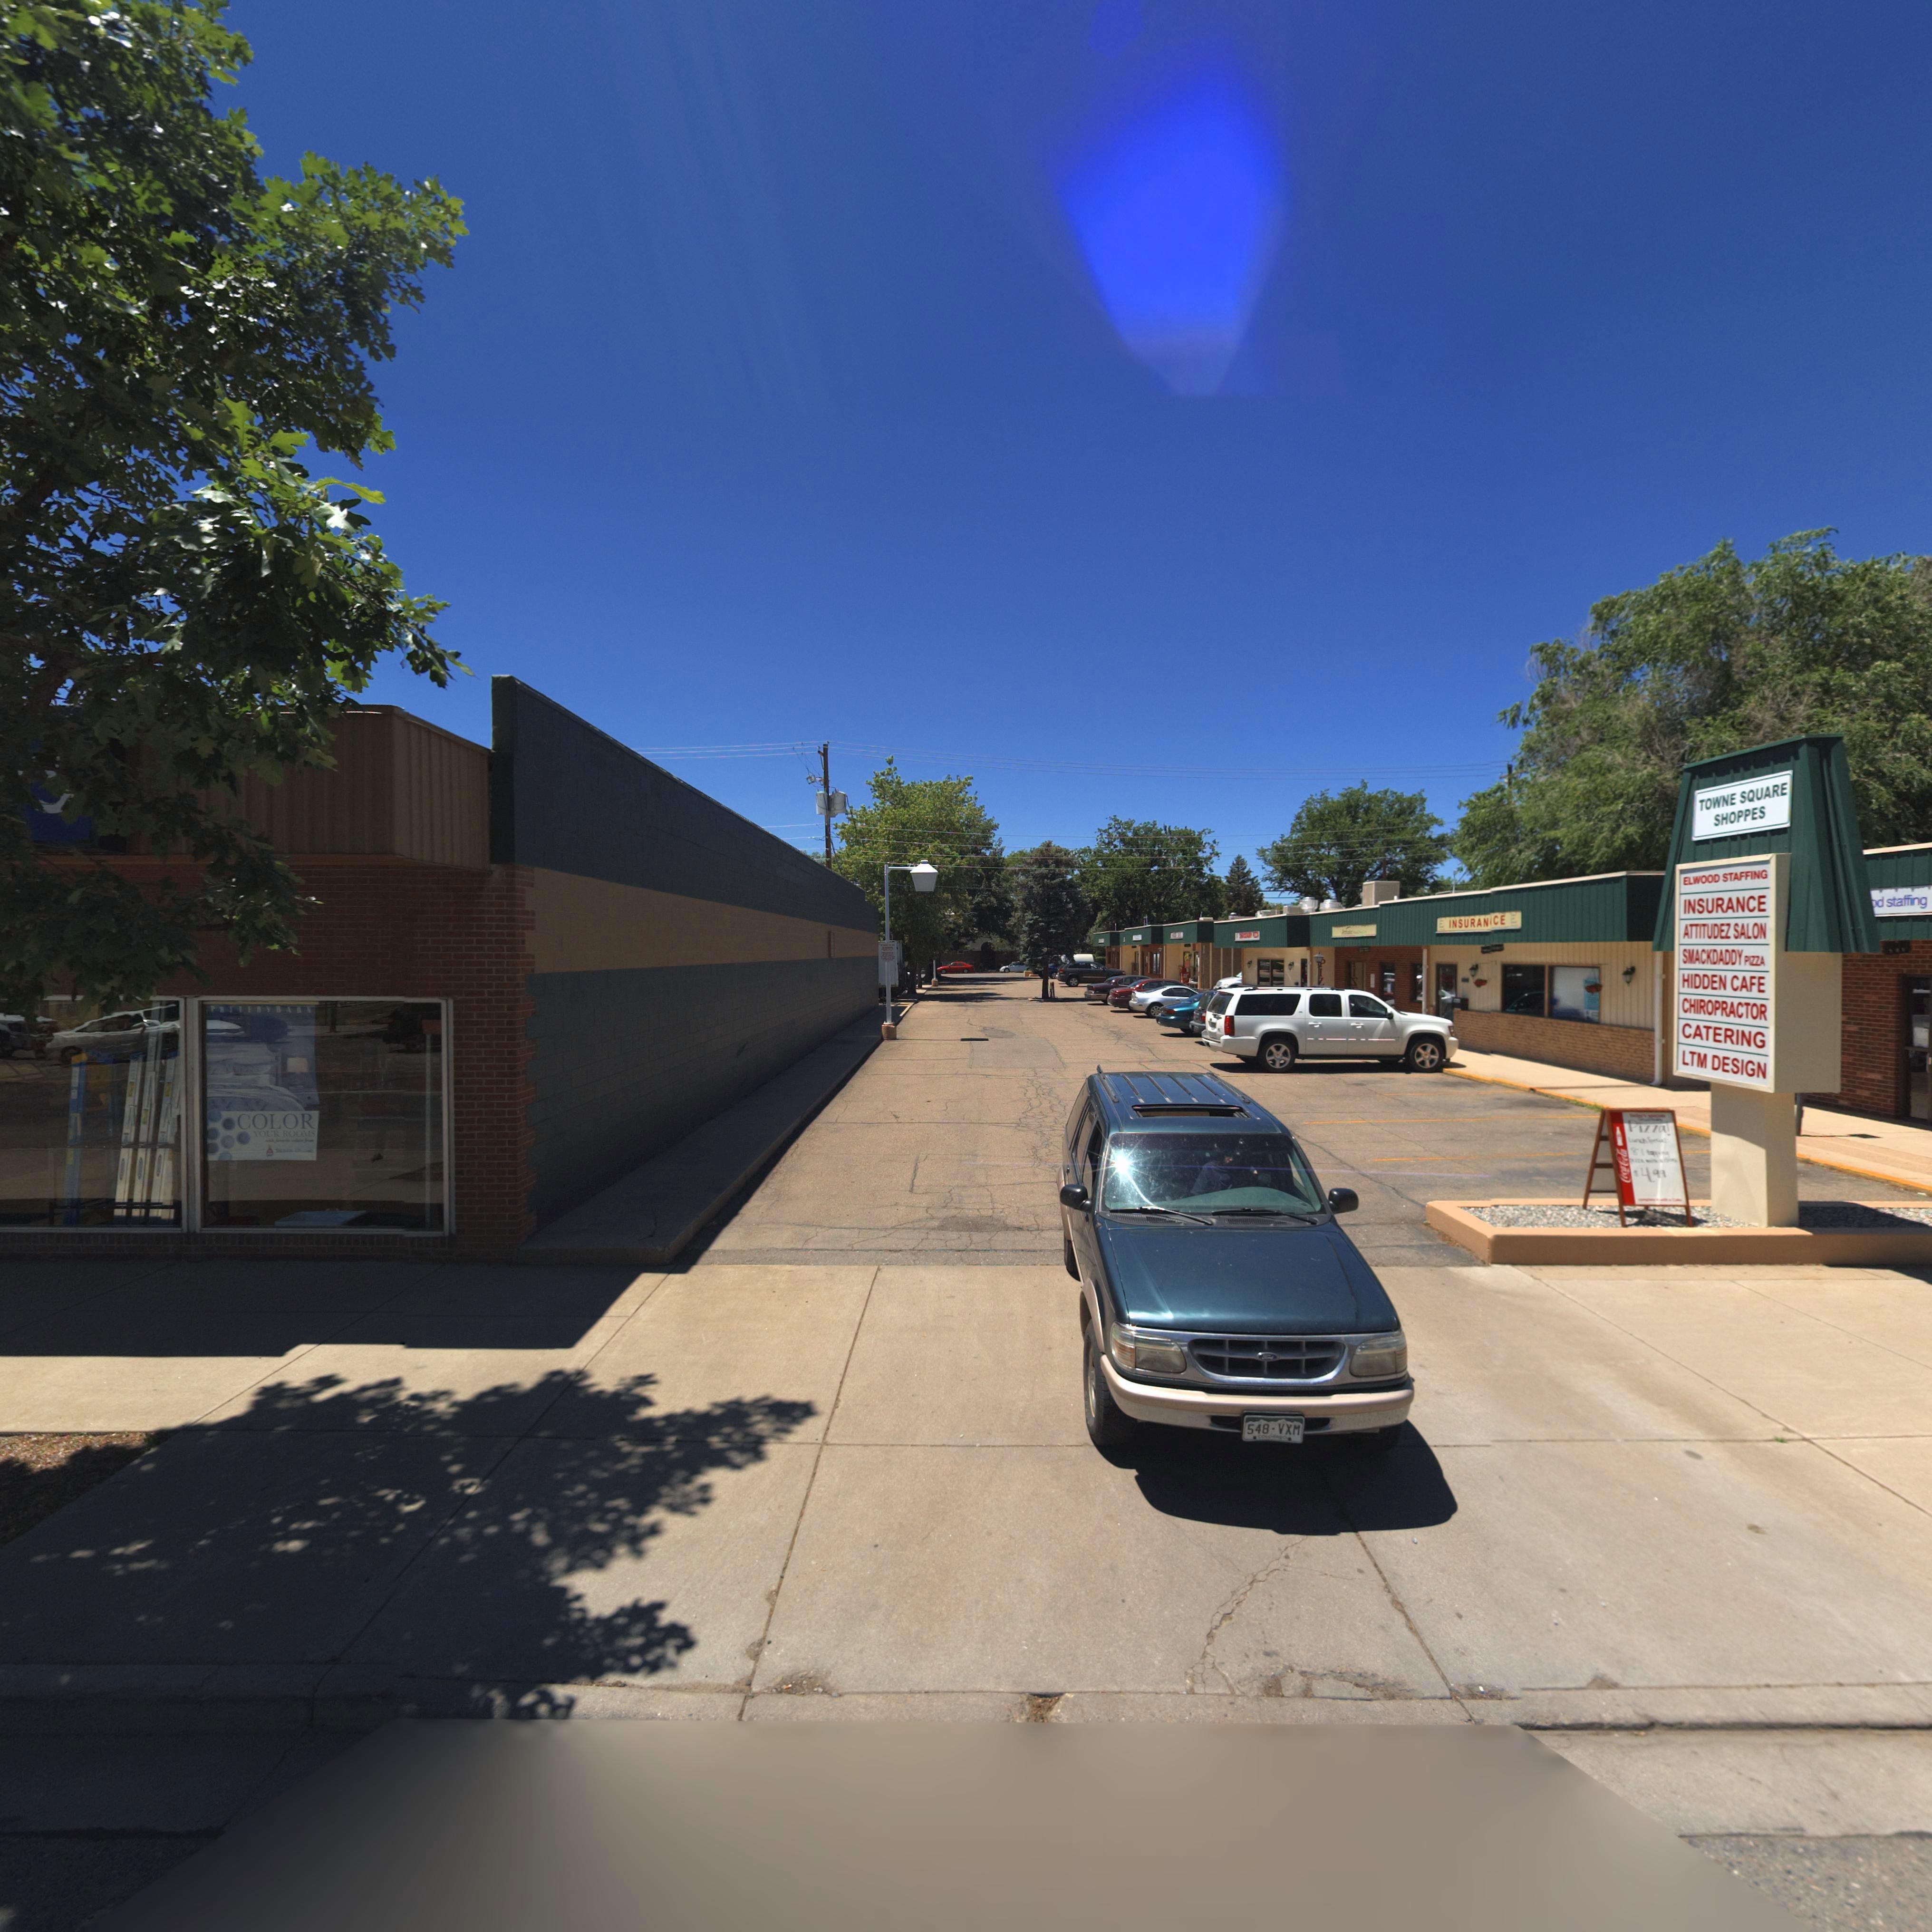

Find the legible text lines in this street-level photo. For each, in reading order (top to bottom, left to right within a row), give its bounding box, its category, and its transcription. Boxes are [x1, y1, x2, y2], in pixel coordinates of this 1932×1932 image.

[1683, 869, 1768, 885] BusinessName: ELWOOD STAFFING
[1876, 894, 1927, 909] BusinessName: d staffing
[1682, 922, 1767, 939] BusinessName: ATTITUDEZ SALON
[1681, 948, 1765, 966] BusinessName: SMACKDADDY PIZZA
[1682, 973, 1765, 993] BusinessName: HIDDEN CAFE
[1681, 1050, 1767, 1079] BusinessName: LTM DESIGN